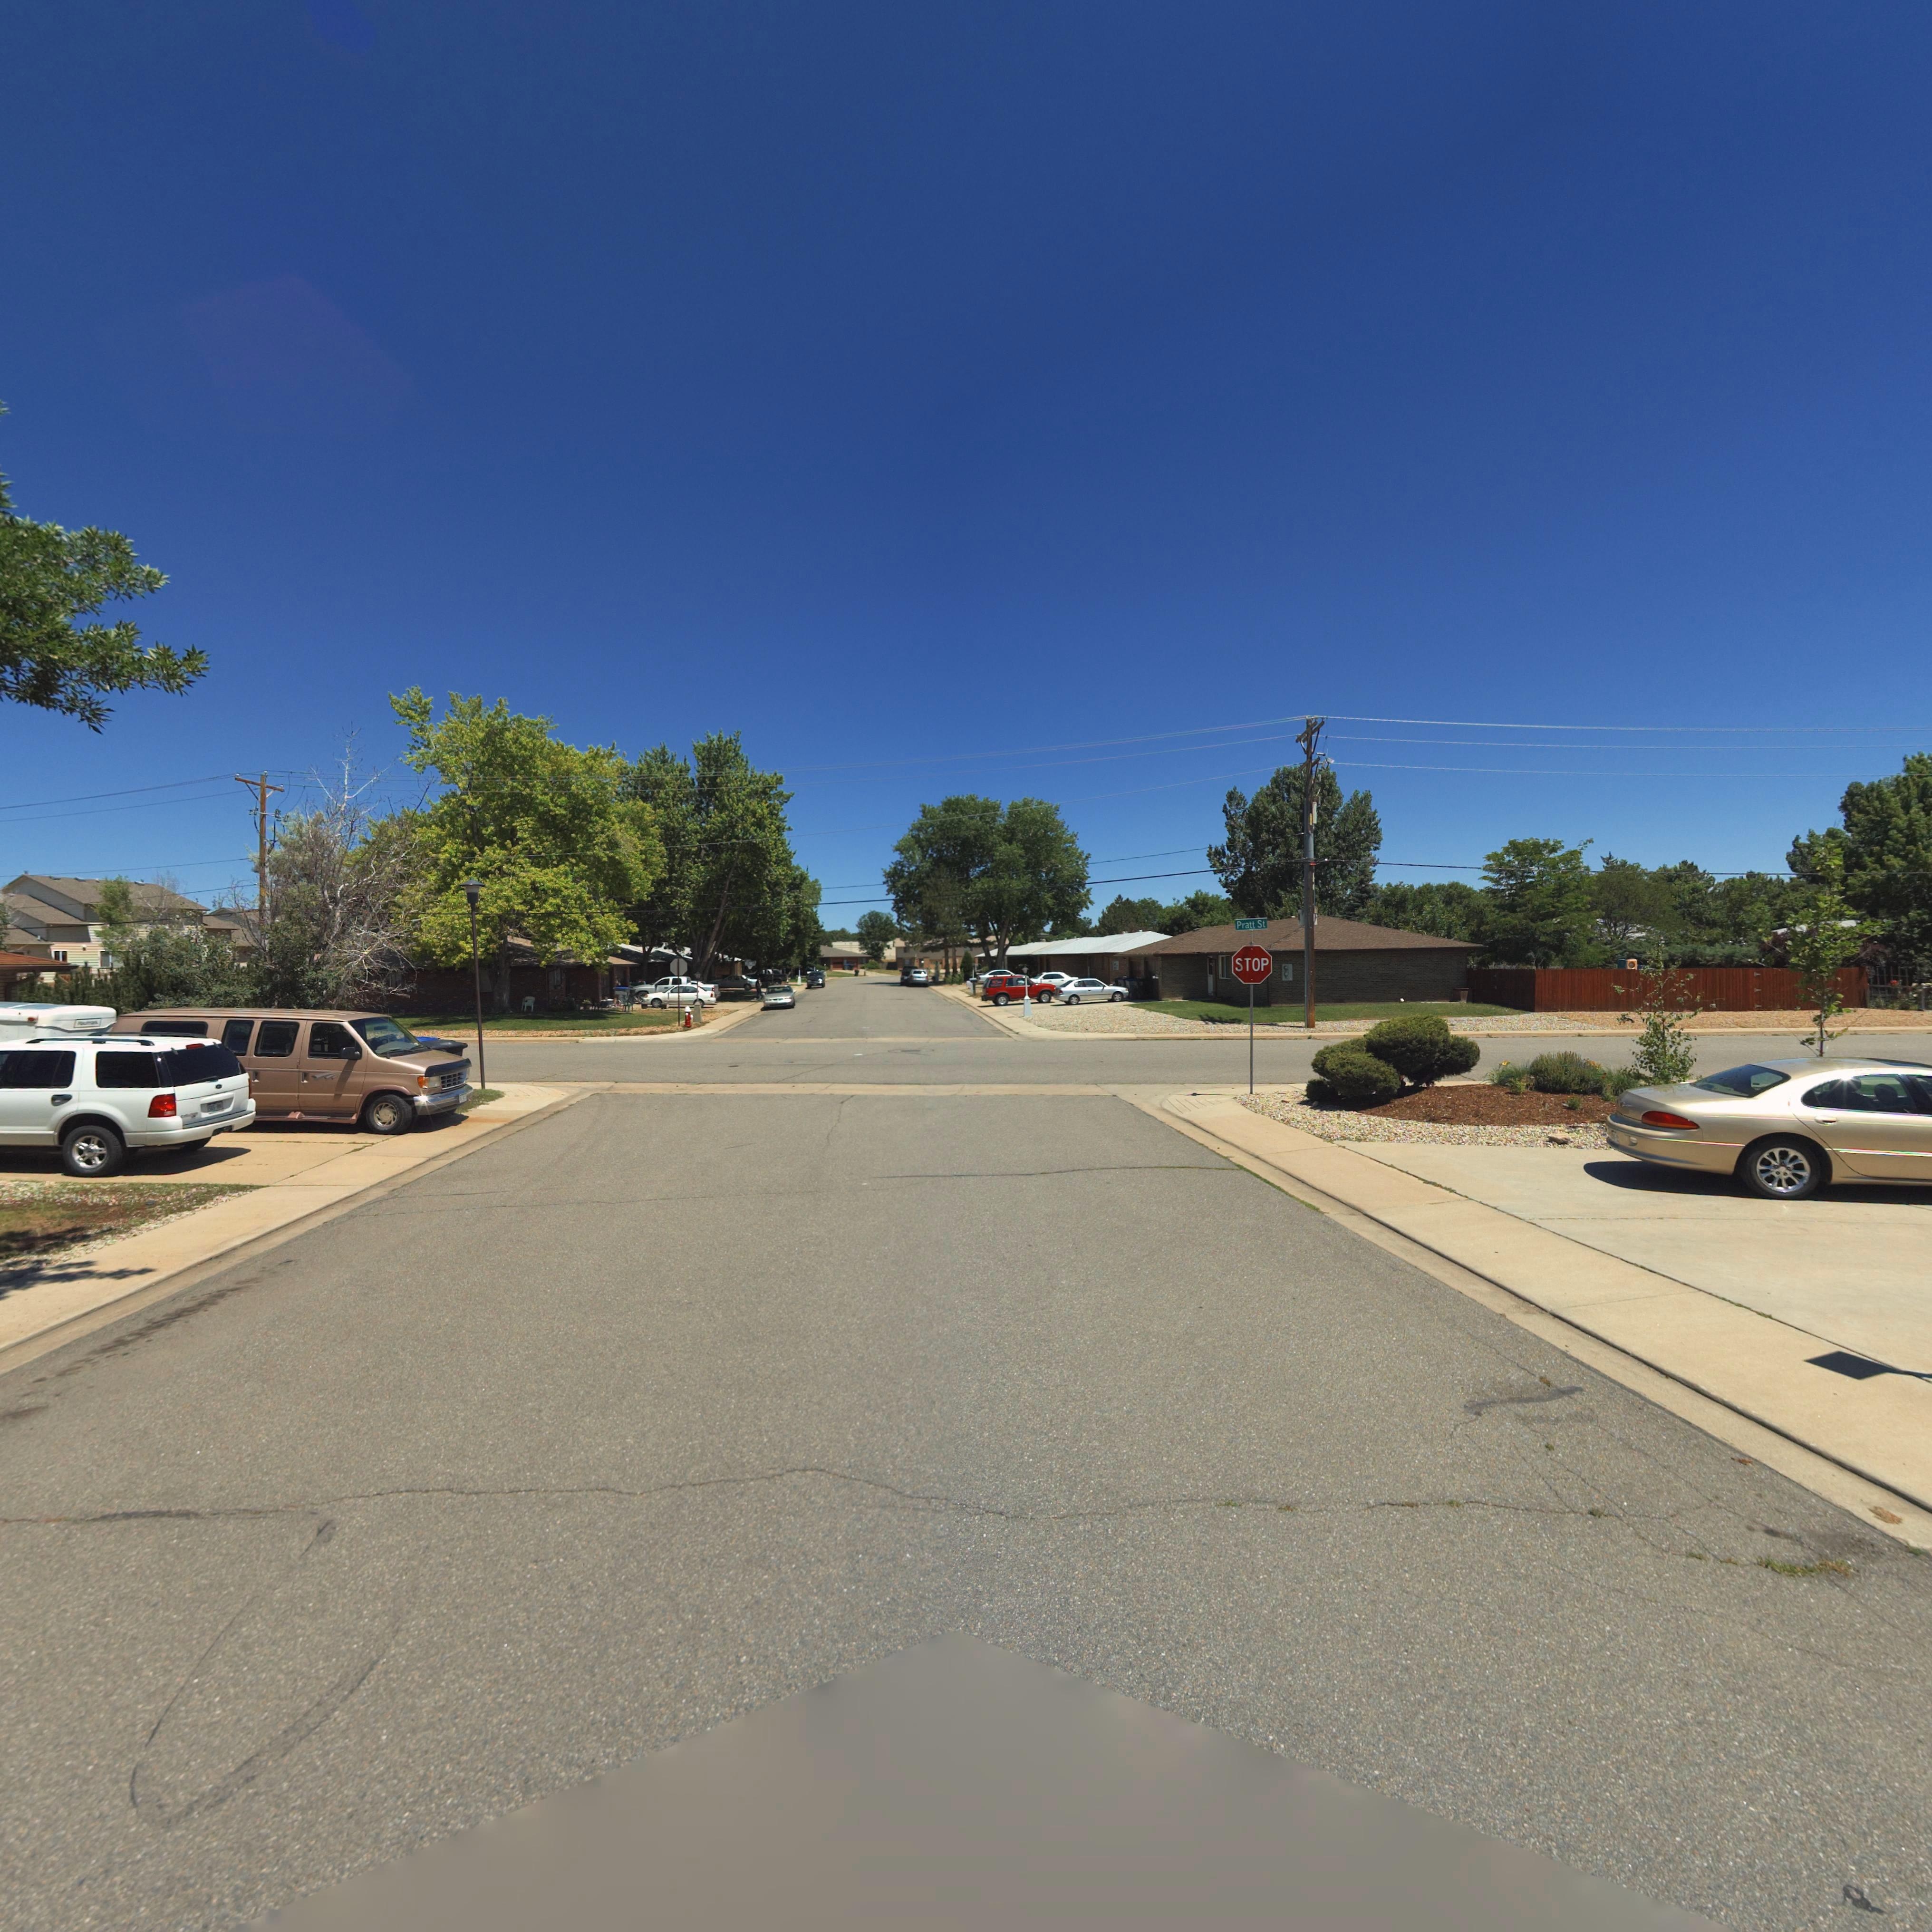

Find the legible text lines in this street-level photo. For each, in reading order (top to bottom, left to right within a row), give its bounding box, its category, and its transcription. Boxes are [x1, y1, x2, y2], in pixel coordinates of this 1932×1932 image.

[1236, 919, 1266, 929] StreetName: Pratt St